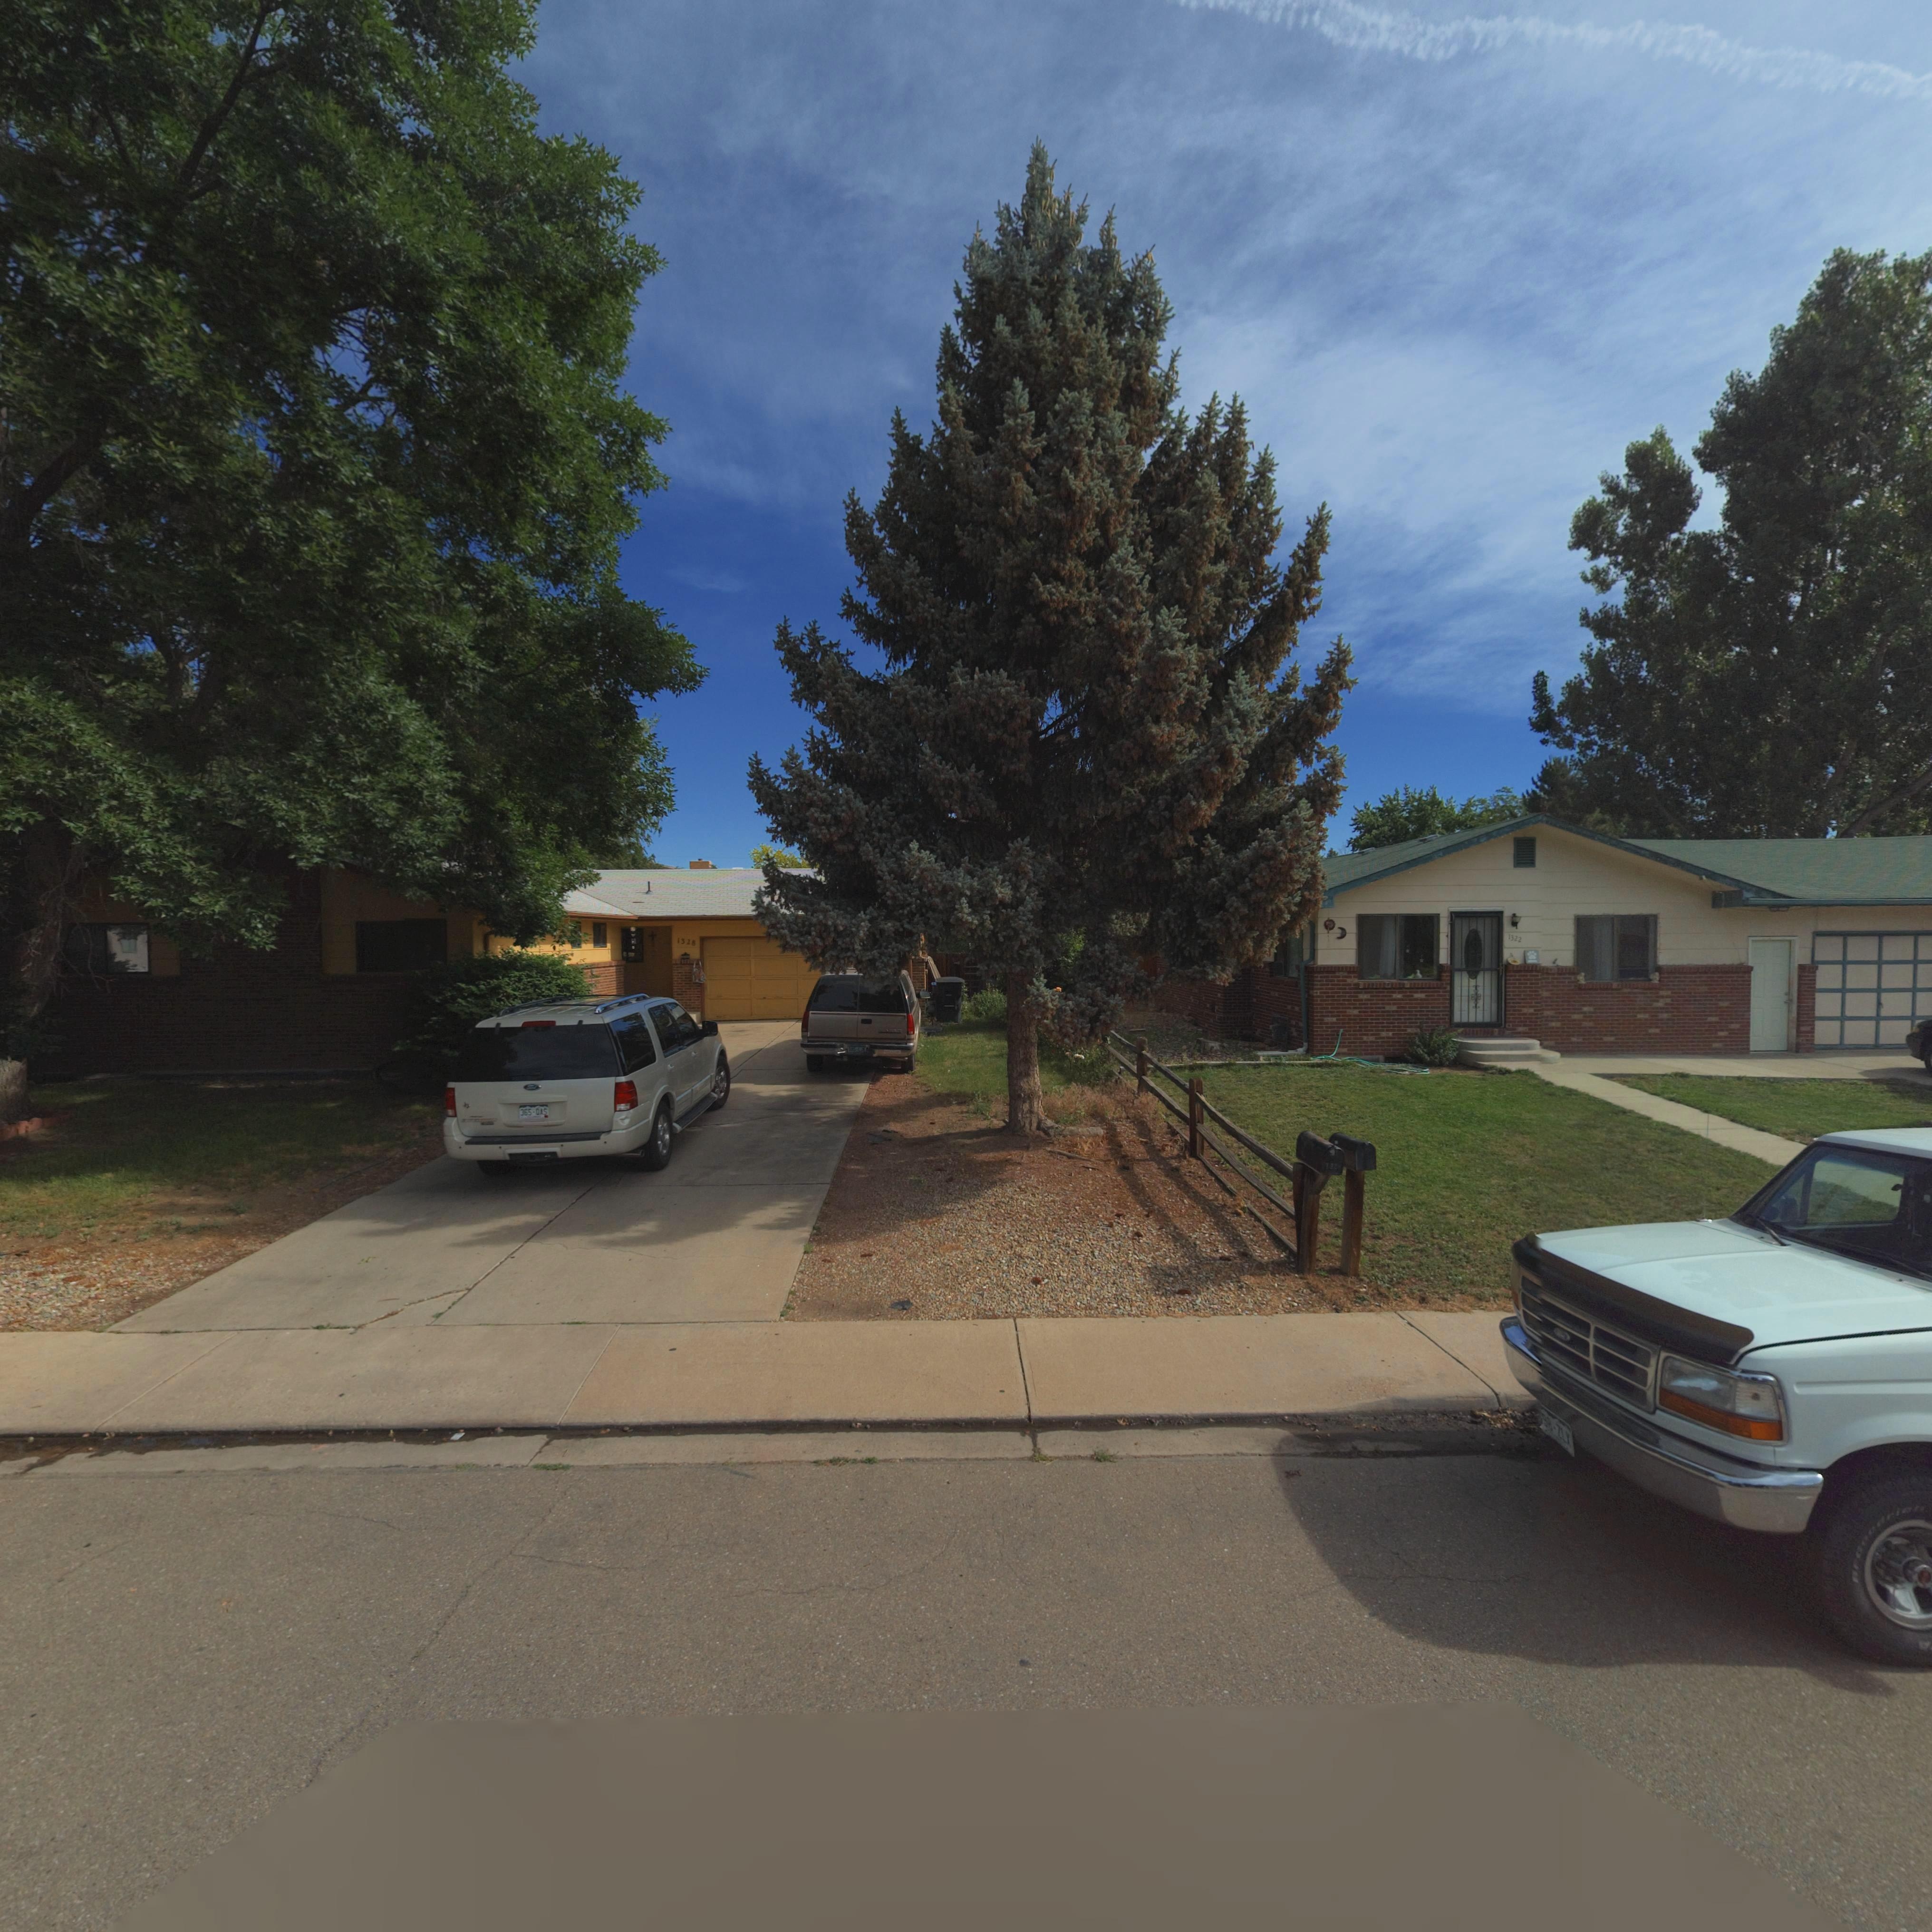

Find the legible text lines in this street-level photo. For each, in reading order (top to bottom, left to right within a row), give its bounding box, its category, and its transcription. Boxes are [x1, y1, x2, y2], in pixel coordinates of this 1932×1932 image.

[677, 936, 696, 947] StreetNumber: 1328
[1507, 933, 1522, 944] StreetNumber: 1322